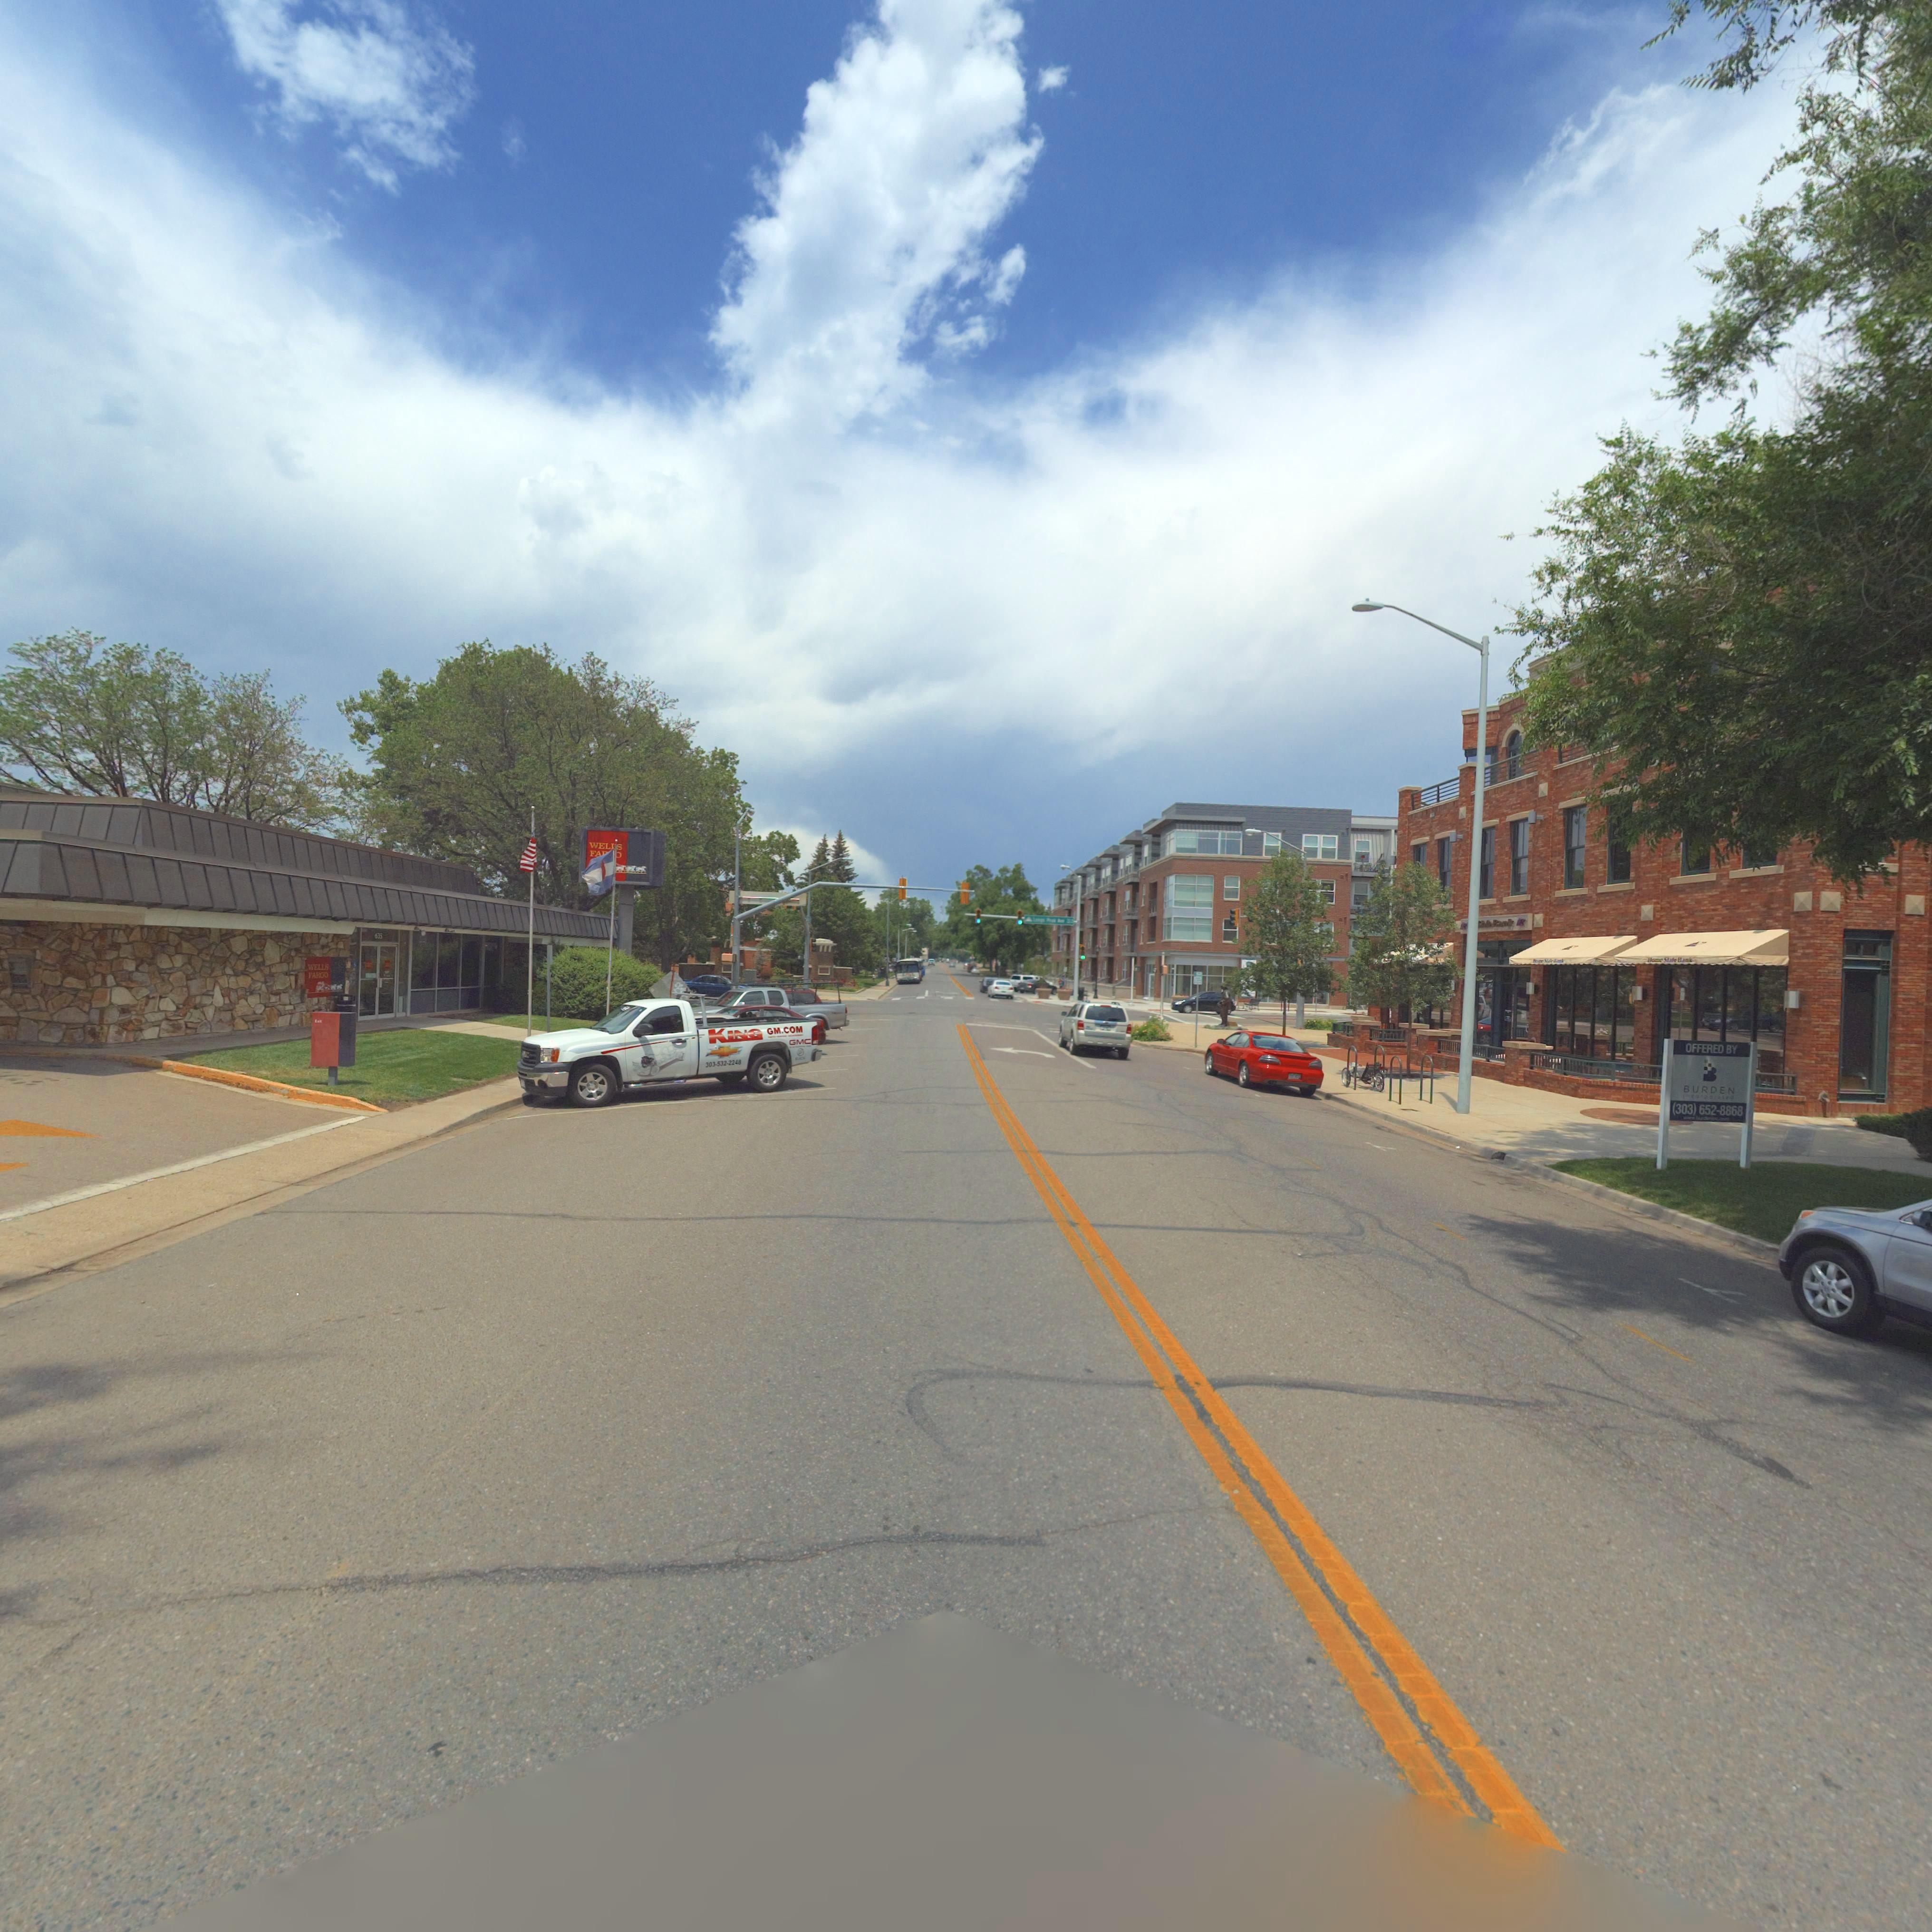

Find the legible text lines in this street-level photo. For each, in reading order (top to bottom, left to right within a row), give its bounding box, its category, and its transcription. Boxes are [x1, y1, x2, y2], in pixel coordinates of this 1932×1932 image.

[589, 841, 622, 850] BusinessName: WELLS
[589, 850, 622, 858] BusinessName: FARGO
[1033, 918, 1064, 924] StreetName: Lo*g* P*** A**
[1477, 918, 1514, 928] BusinessName: **a** Bank
[374, 932, 383, 939] StreetNumber: 635
[1533, 958, 1565, 963] BusinessName: H**** S**t* ****
[1647, 956, 1693, 962] BusinessName: Ho** St*** B***
[307, 963, 328, 970] BusinessName: WELLS
[308, 972, 328, 979] BusinessName: FARGO